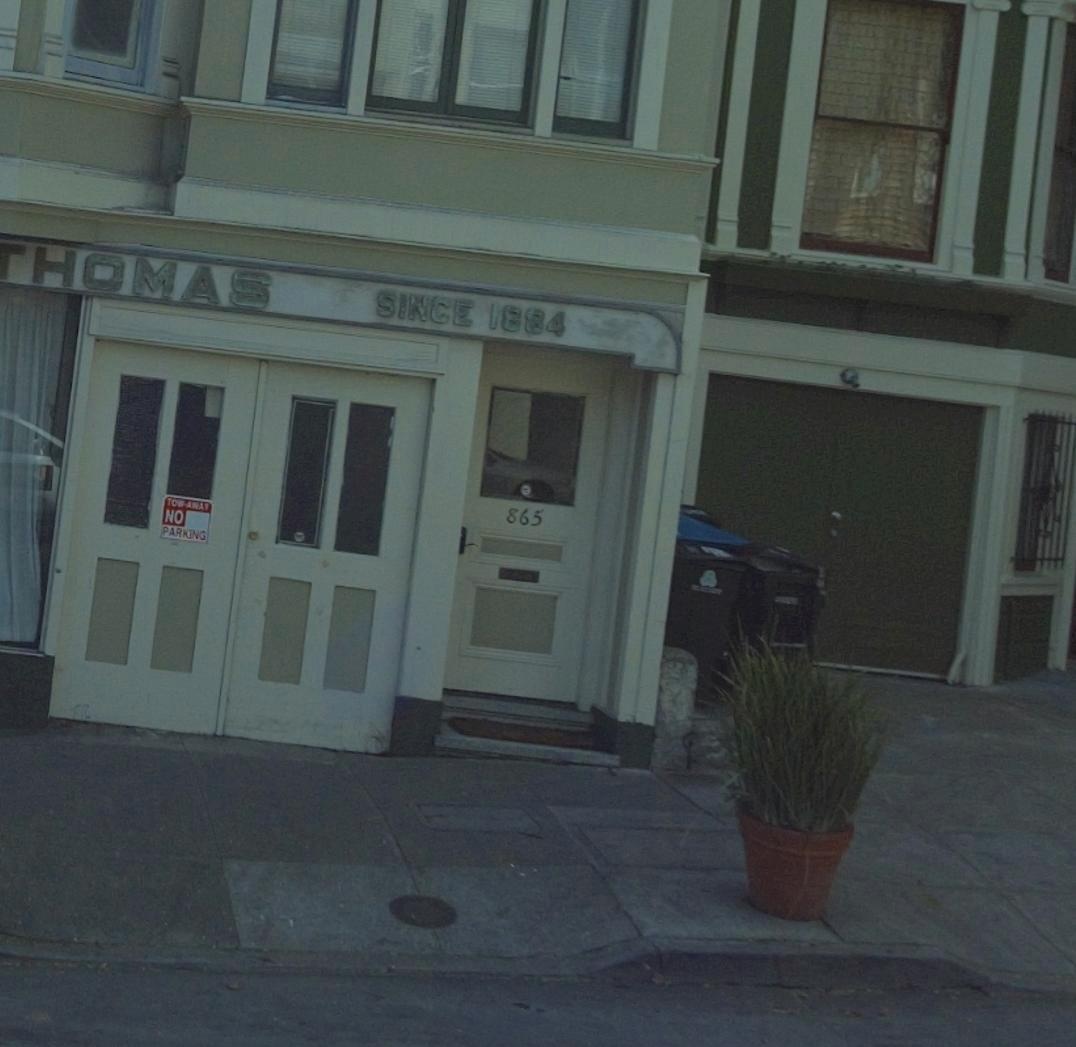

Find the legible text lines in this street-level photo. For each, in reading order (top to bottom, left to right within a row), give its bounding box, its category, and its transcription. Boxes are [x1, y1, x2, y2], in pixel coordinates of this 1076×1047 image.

[0, 240, 280, 313] None: *HOMAS
[374, 288, 575, 340] None: SINCE 1884
[166, 497, 210, 512] None: TOW-AWAY
[163, 508, 184, 525] None: NO
[505, 506, 546, 529] StreetNumber: 865
[160, 525, 207, 543] None: PARKING